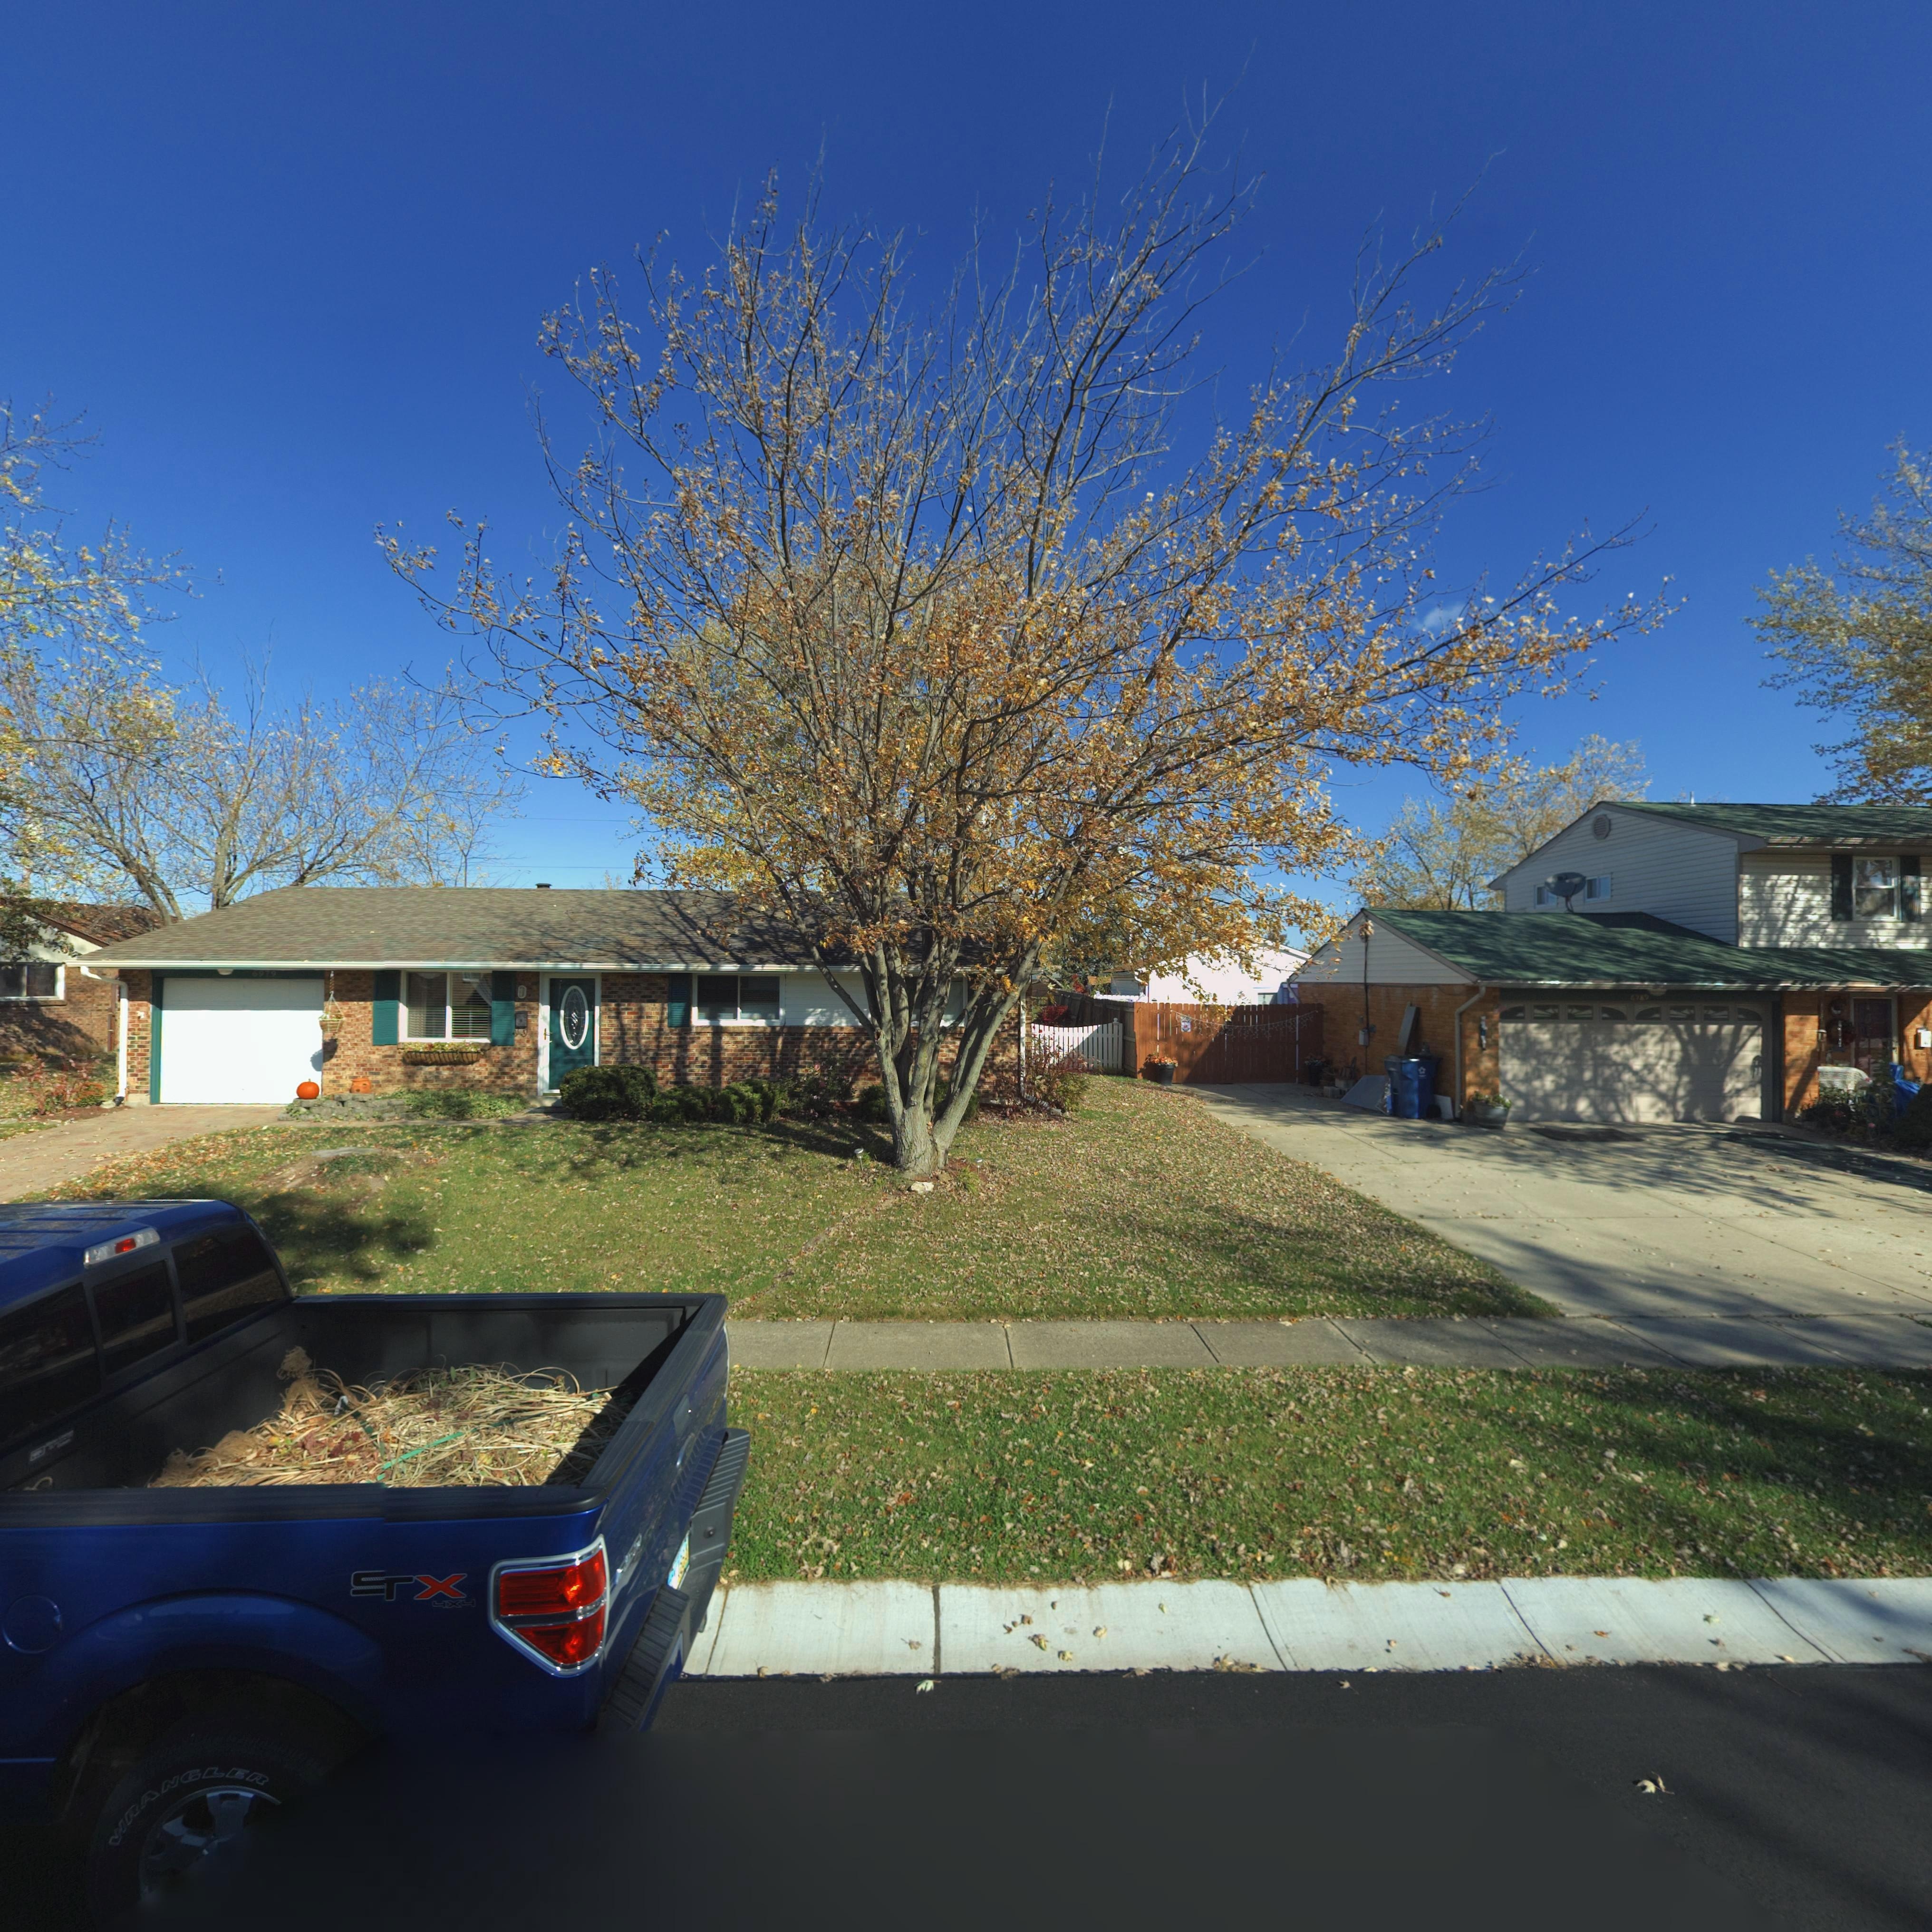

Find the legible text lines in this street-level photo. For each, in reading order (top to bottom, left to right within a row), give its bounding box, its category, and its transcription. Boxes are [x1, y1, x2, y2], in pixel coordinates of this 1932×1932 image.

[251, 970, 277, 978] StreetNumber: 6979
[1629, 993, 1650, 1001] StreetNumber: 6989